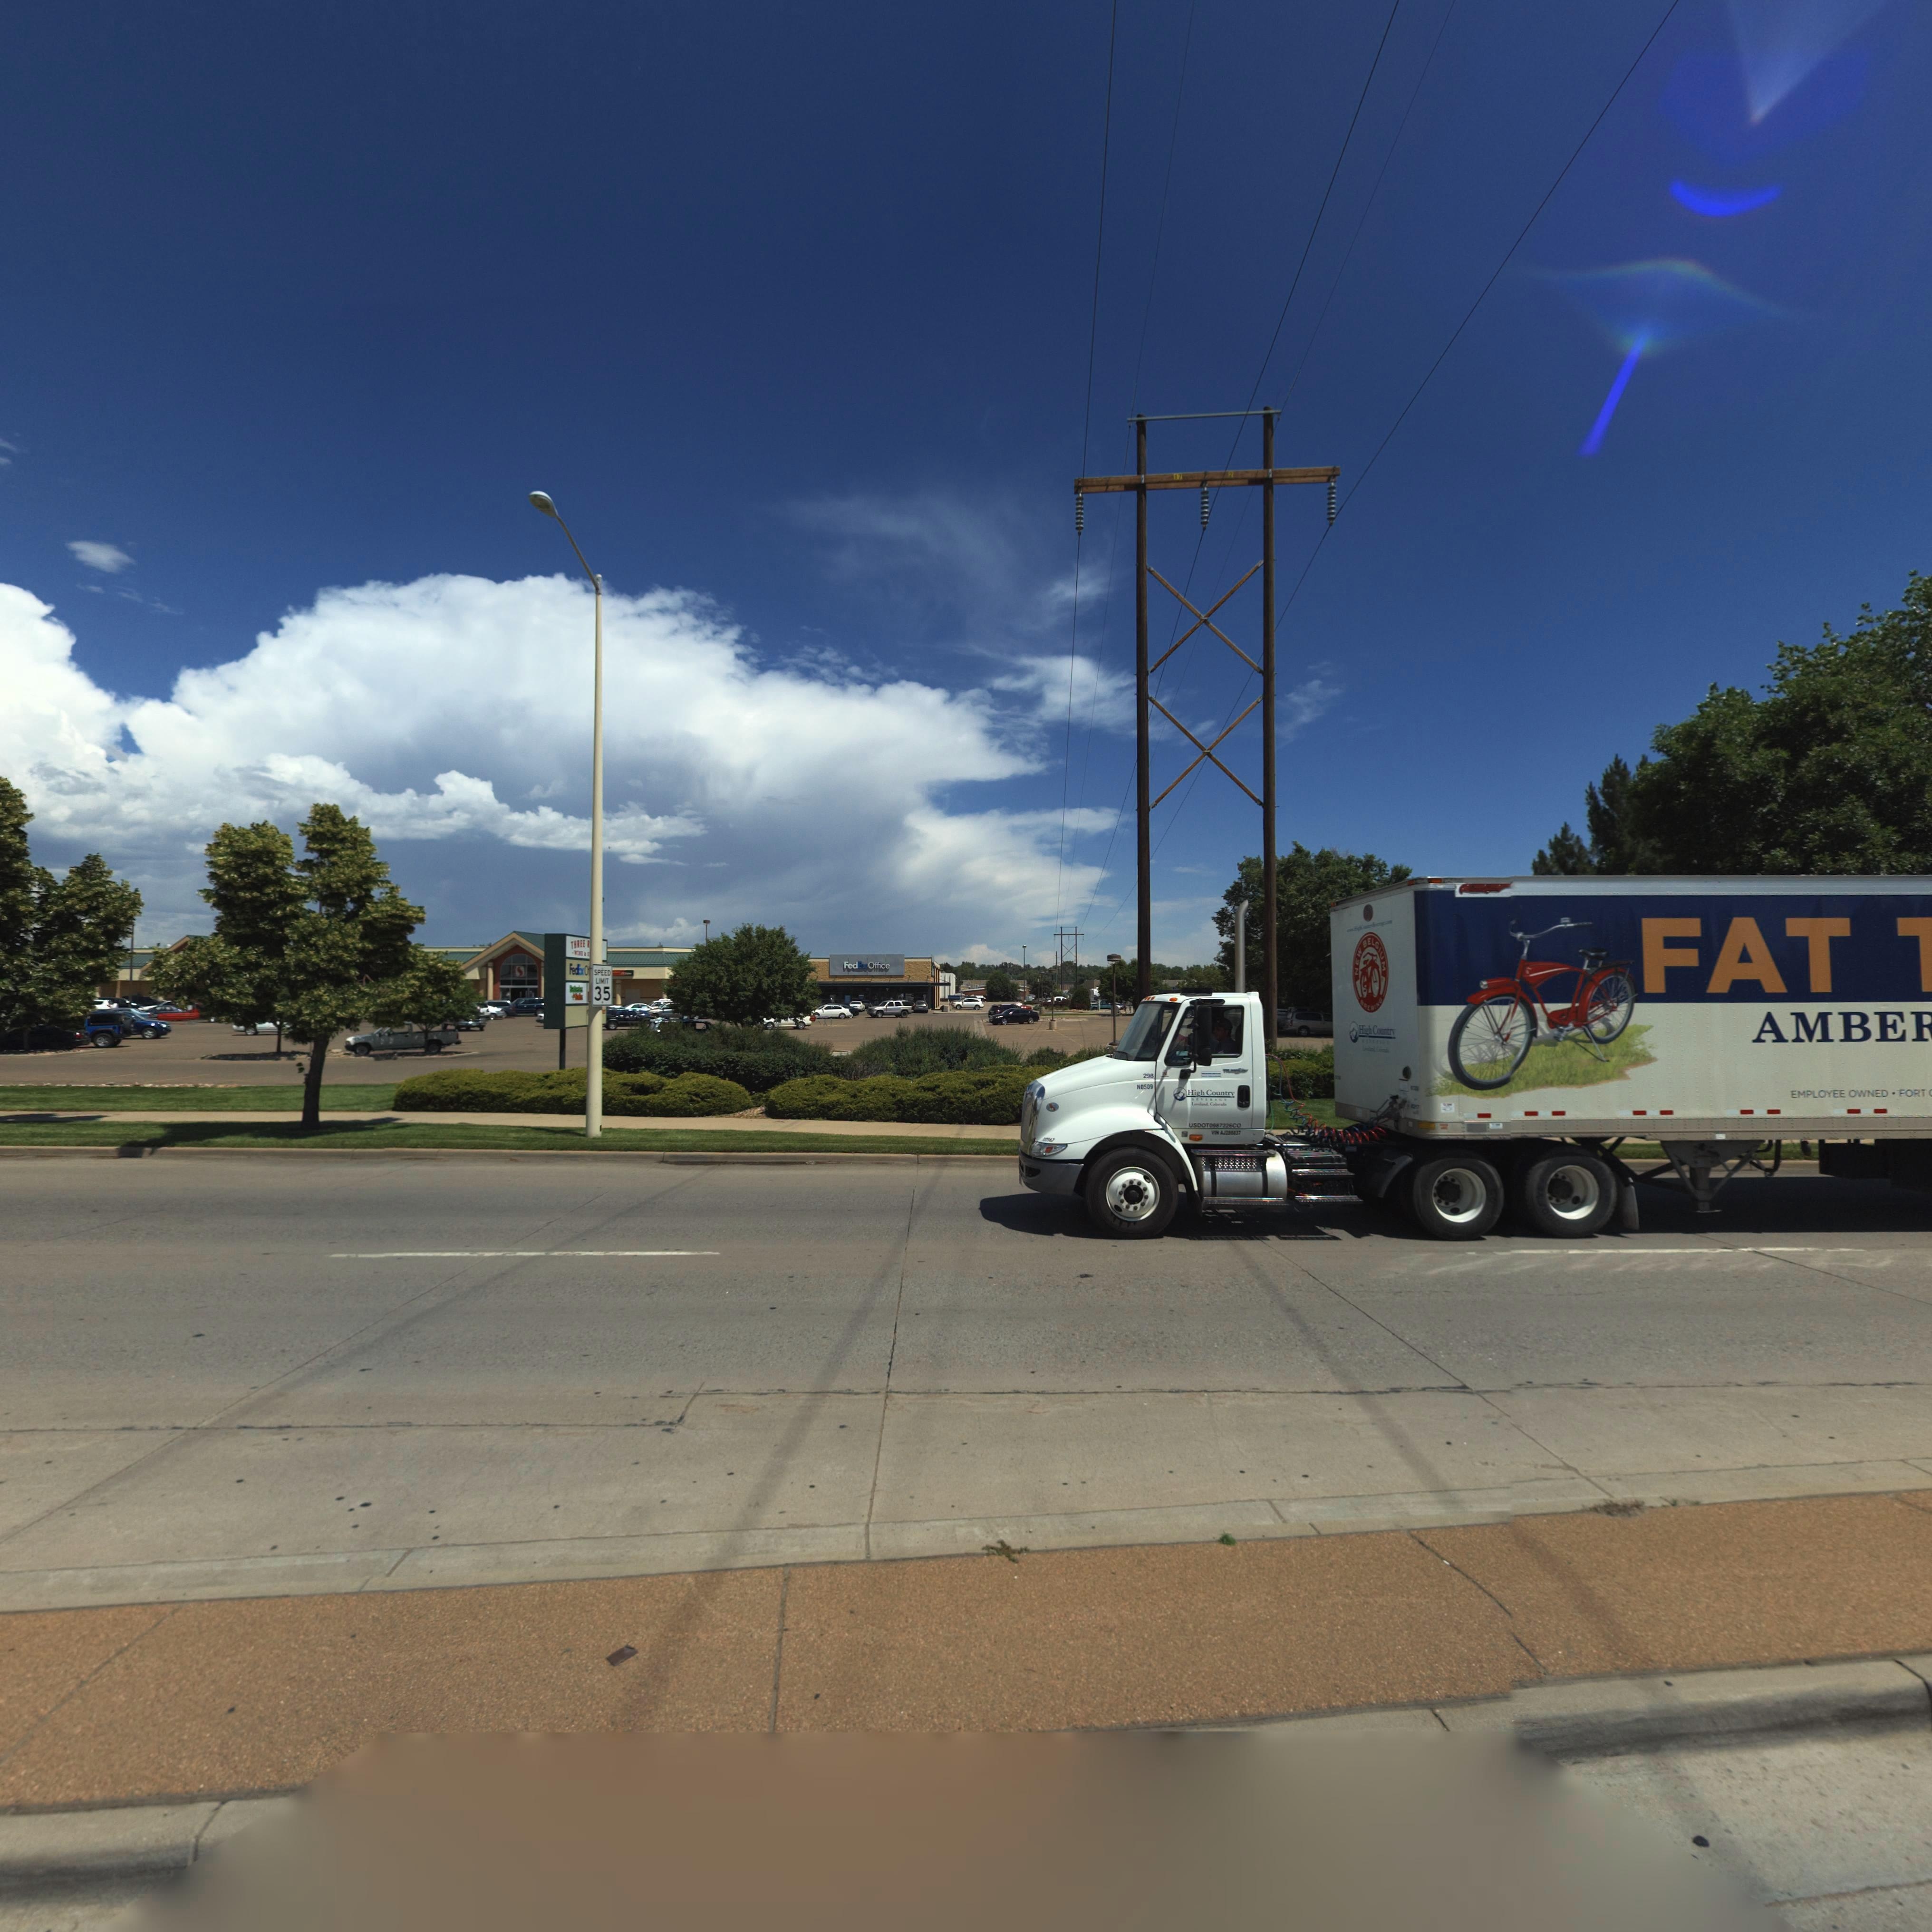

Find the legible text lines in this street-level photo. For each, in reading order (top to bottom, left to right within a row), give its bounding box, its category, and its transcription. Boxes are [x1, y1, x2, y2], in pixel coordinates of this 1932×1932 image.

[570, 939, 589, 949] BusinessName: THREE R
[573, 949, 589, 956] BusinessName: W*NE & S
[843, 961, 890, 969] BusinessName: FedEx Office
[569, 963, 589, 976] BusinessName: FedEx O
[569, 985, 583, 993] BusinessName: Batt*****